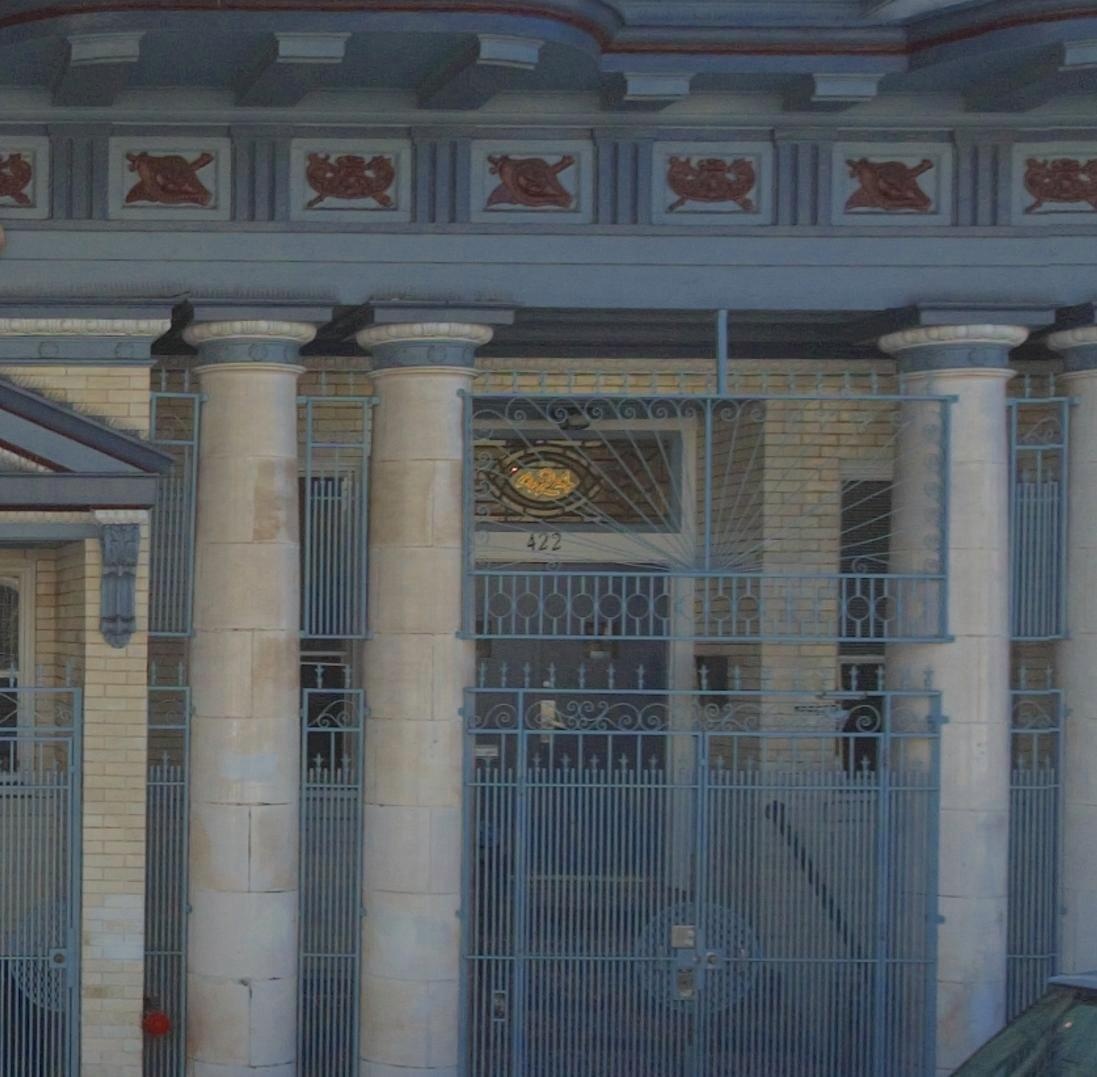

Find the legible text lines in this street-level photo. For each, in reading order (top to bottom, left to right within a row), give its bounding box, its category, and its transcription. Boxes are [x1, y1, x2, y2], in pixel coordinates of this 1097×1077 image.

[526, 530, 563, 552] StreetNumber: 422